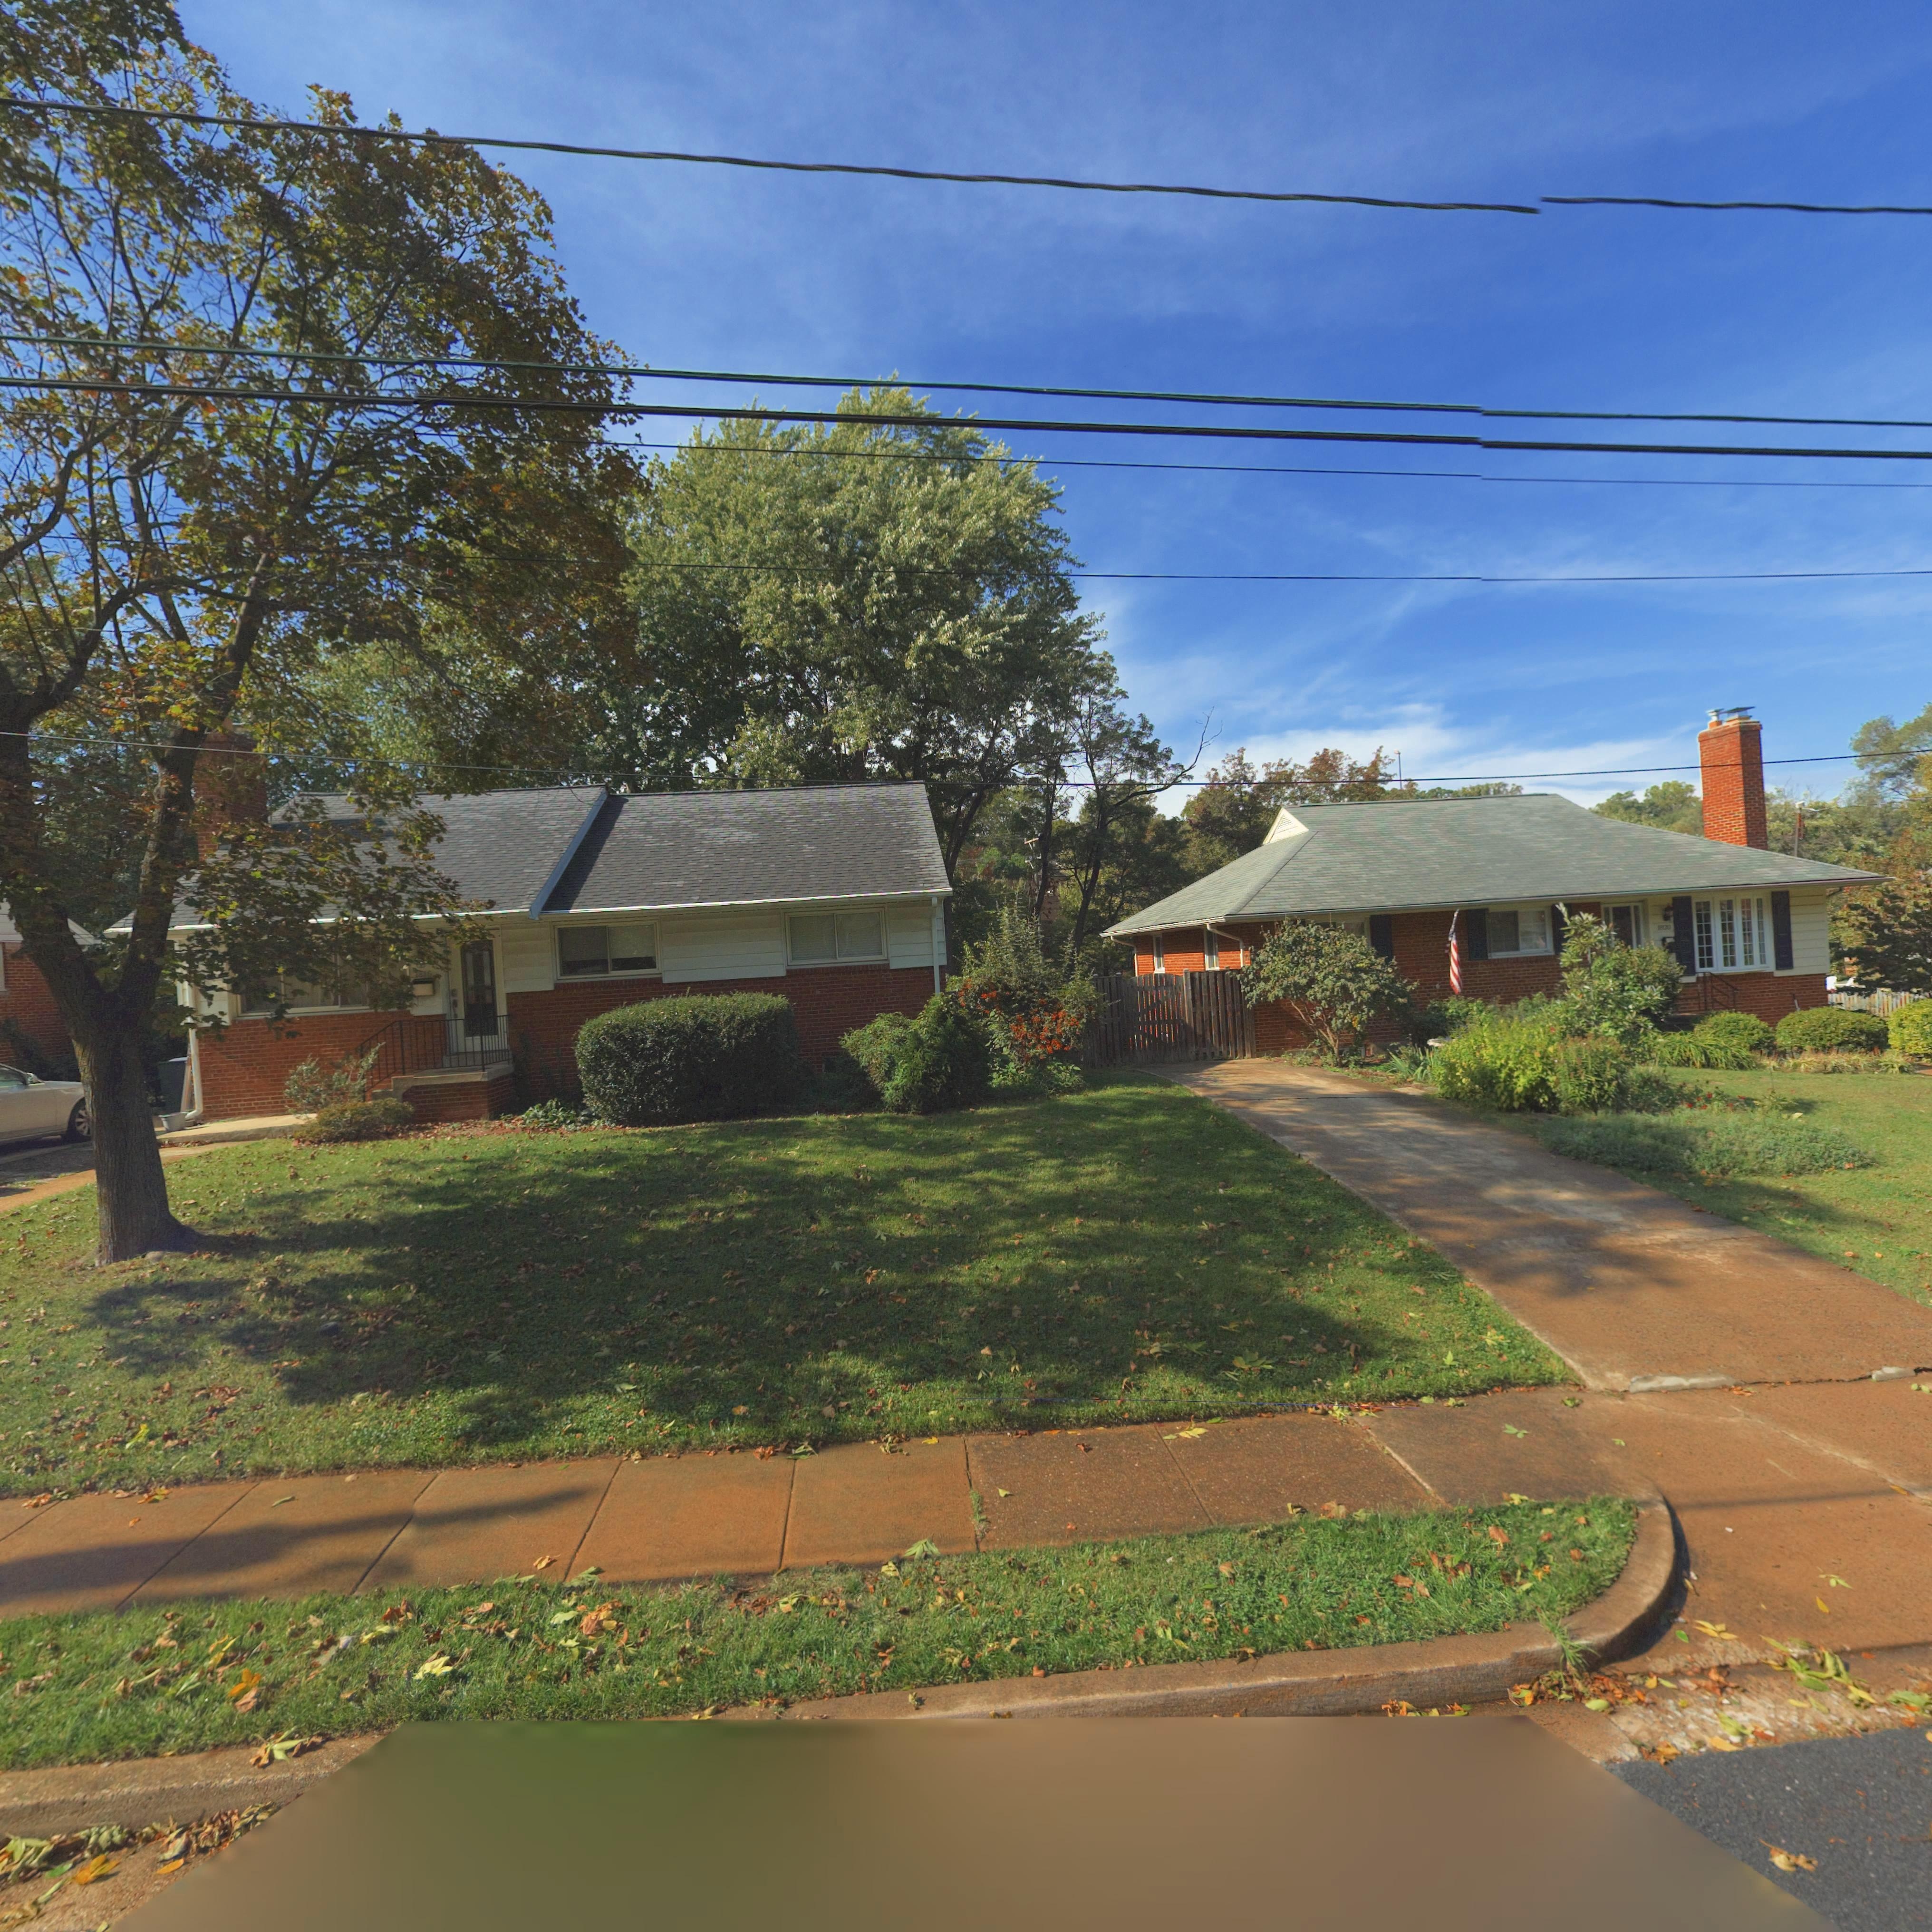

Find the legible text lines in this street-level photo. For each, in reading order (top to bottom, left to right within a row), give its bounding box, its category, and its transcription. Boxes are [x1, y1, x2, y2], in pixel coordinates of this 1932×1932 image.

[1657, 923, 1671, 930] StreetNumber: 1820
[414, 969, 432, 977] StreetNumber: 1816